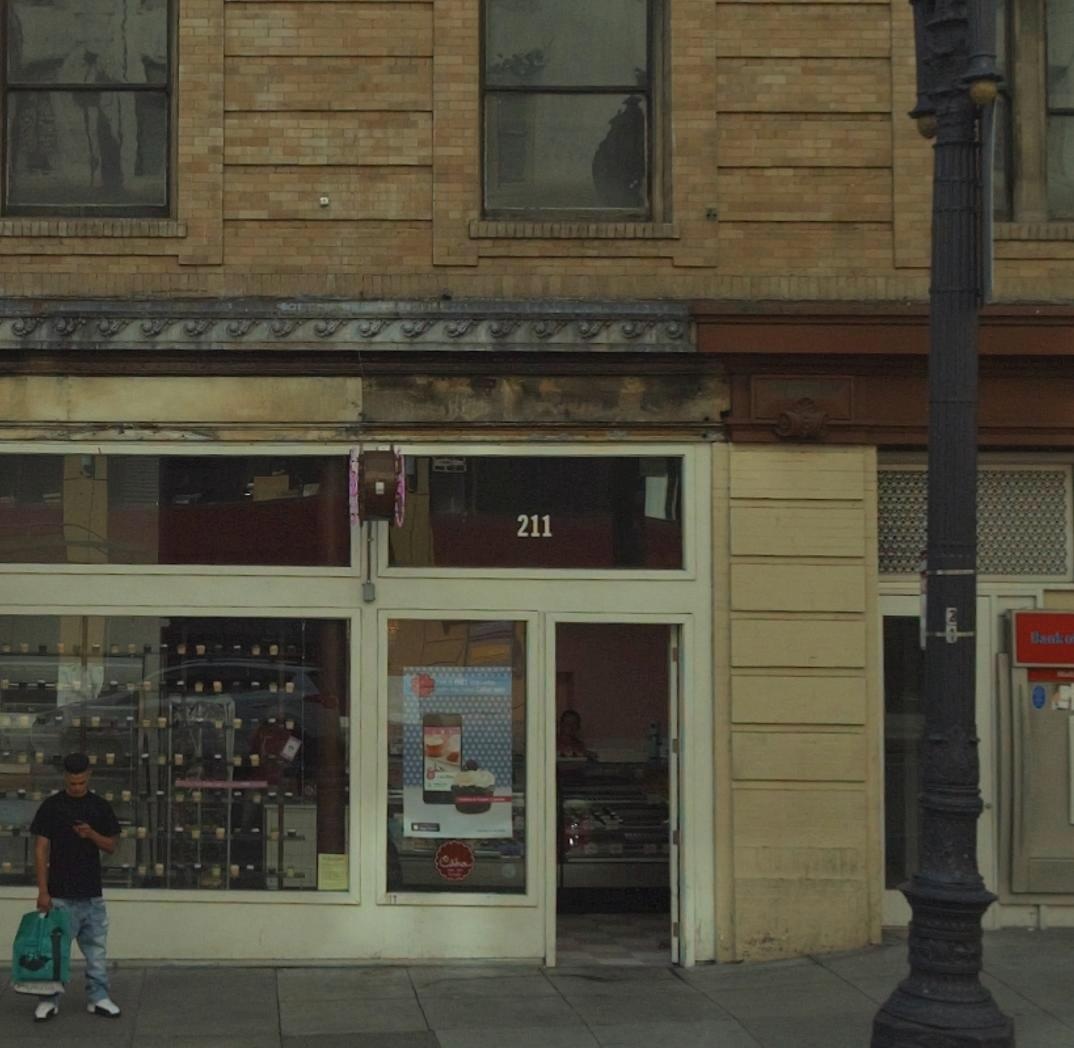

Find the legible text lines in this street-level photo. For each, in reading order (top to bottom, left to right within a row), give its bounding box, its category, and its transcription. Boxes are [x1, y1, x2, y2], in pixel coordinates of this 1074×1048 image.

[512, 509, 557, 542] StreetNumber: 211
[947, 605, 960, 648] None: 21
[1028, 628, 1068, 647] BusinessName: Bank